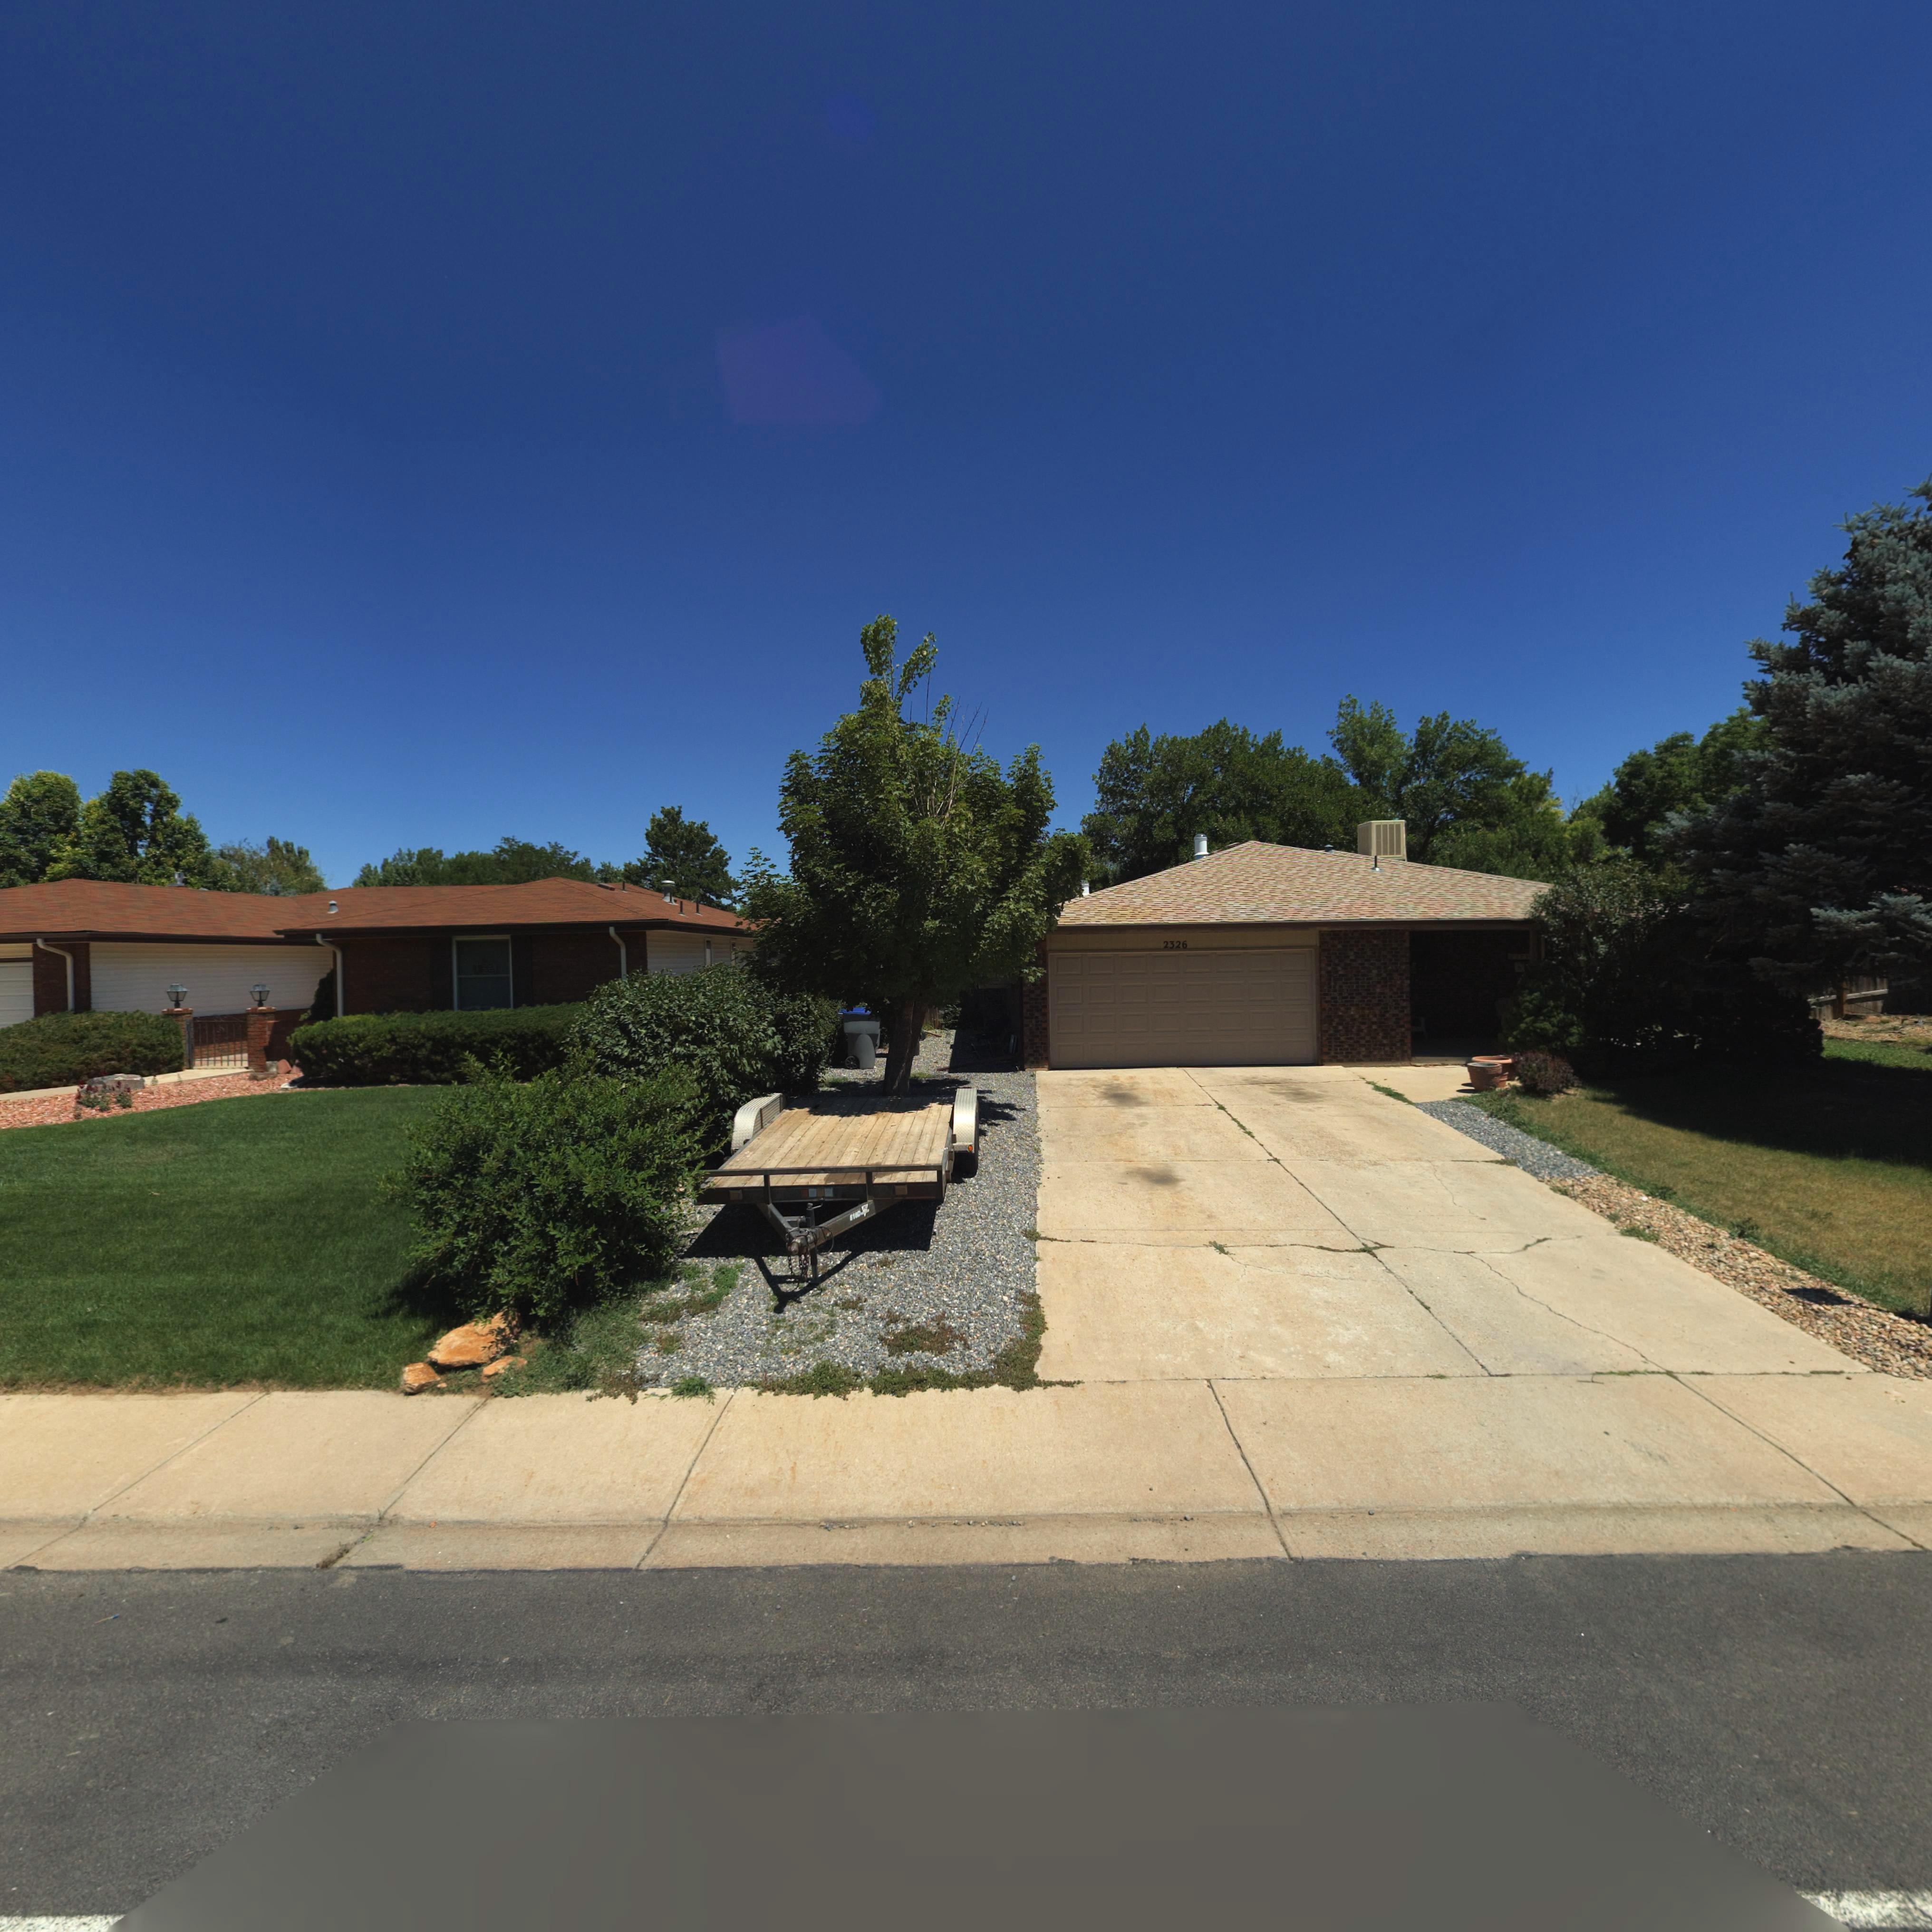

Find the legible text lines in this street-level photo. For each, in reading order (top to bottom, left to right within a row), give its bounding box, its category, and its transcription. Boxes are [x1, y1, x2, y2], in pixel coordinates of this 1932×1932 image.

[1163, 940, 1188, 949] StreetNumber: 2326